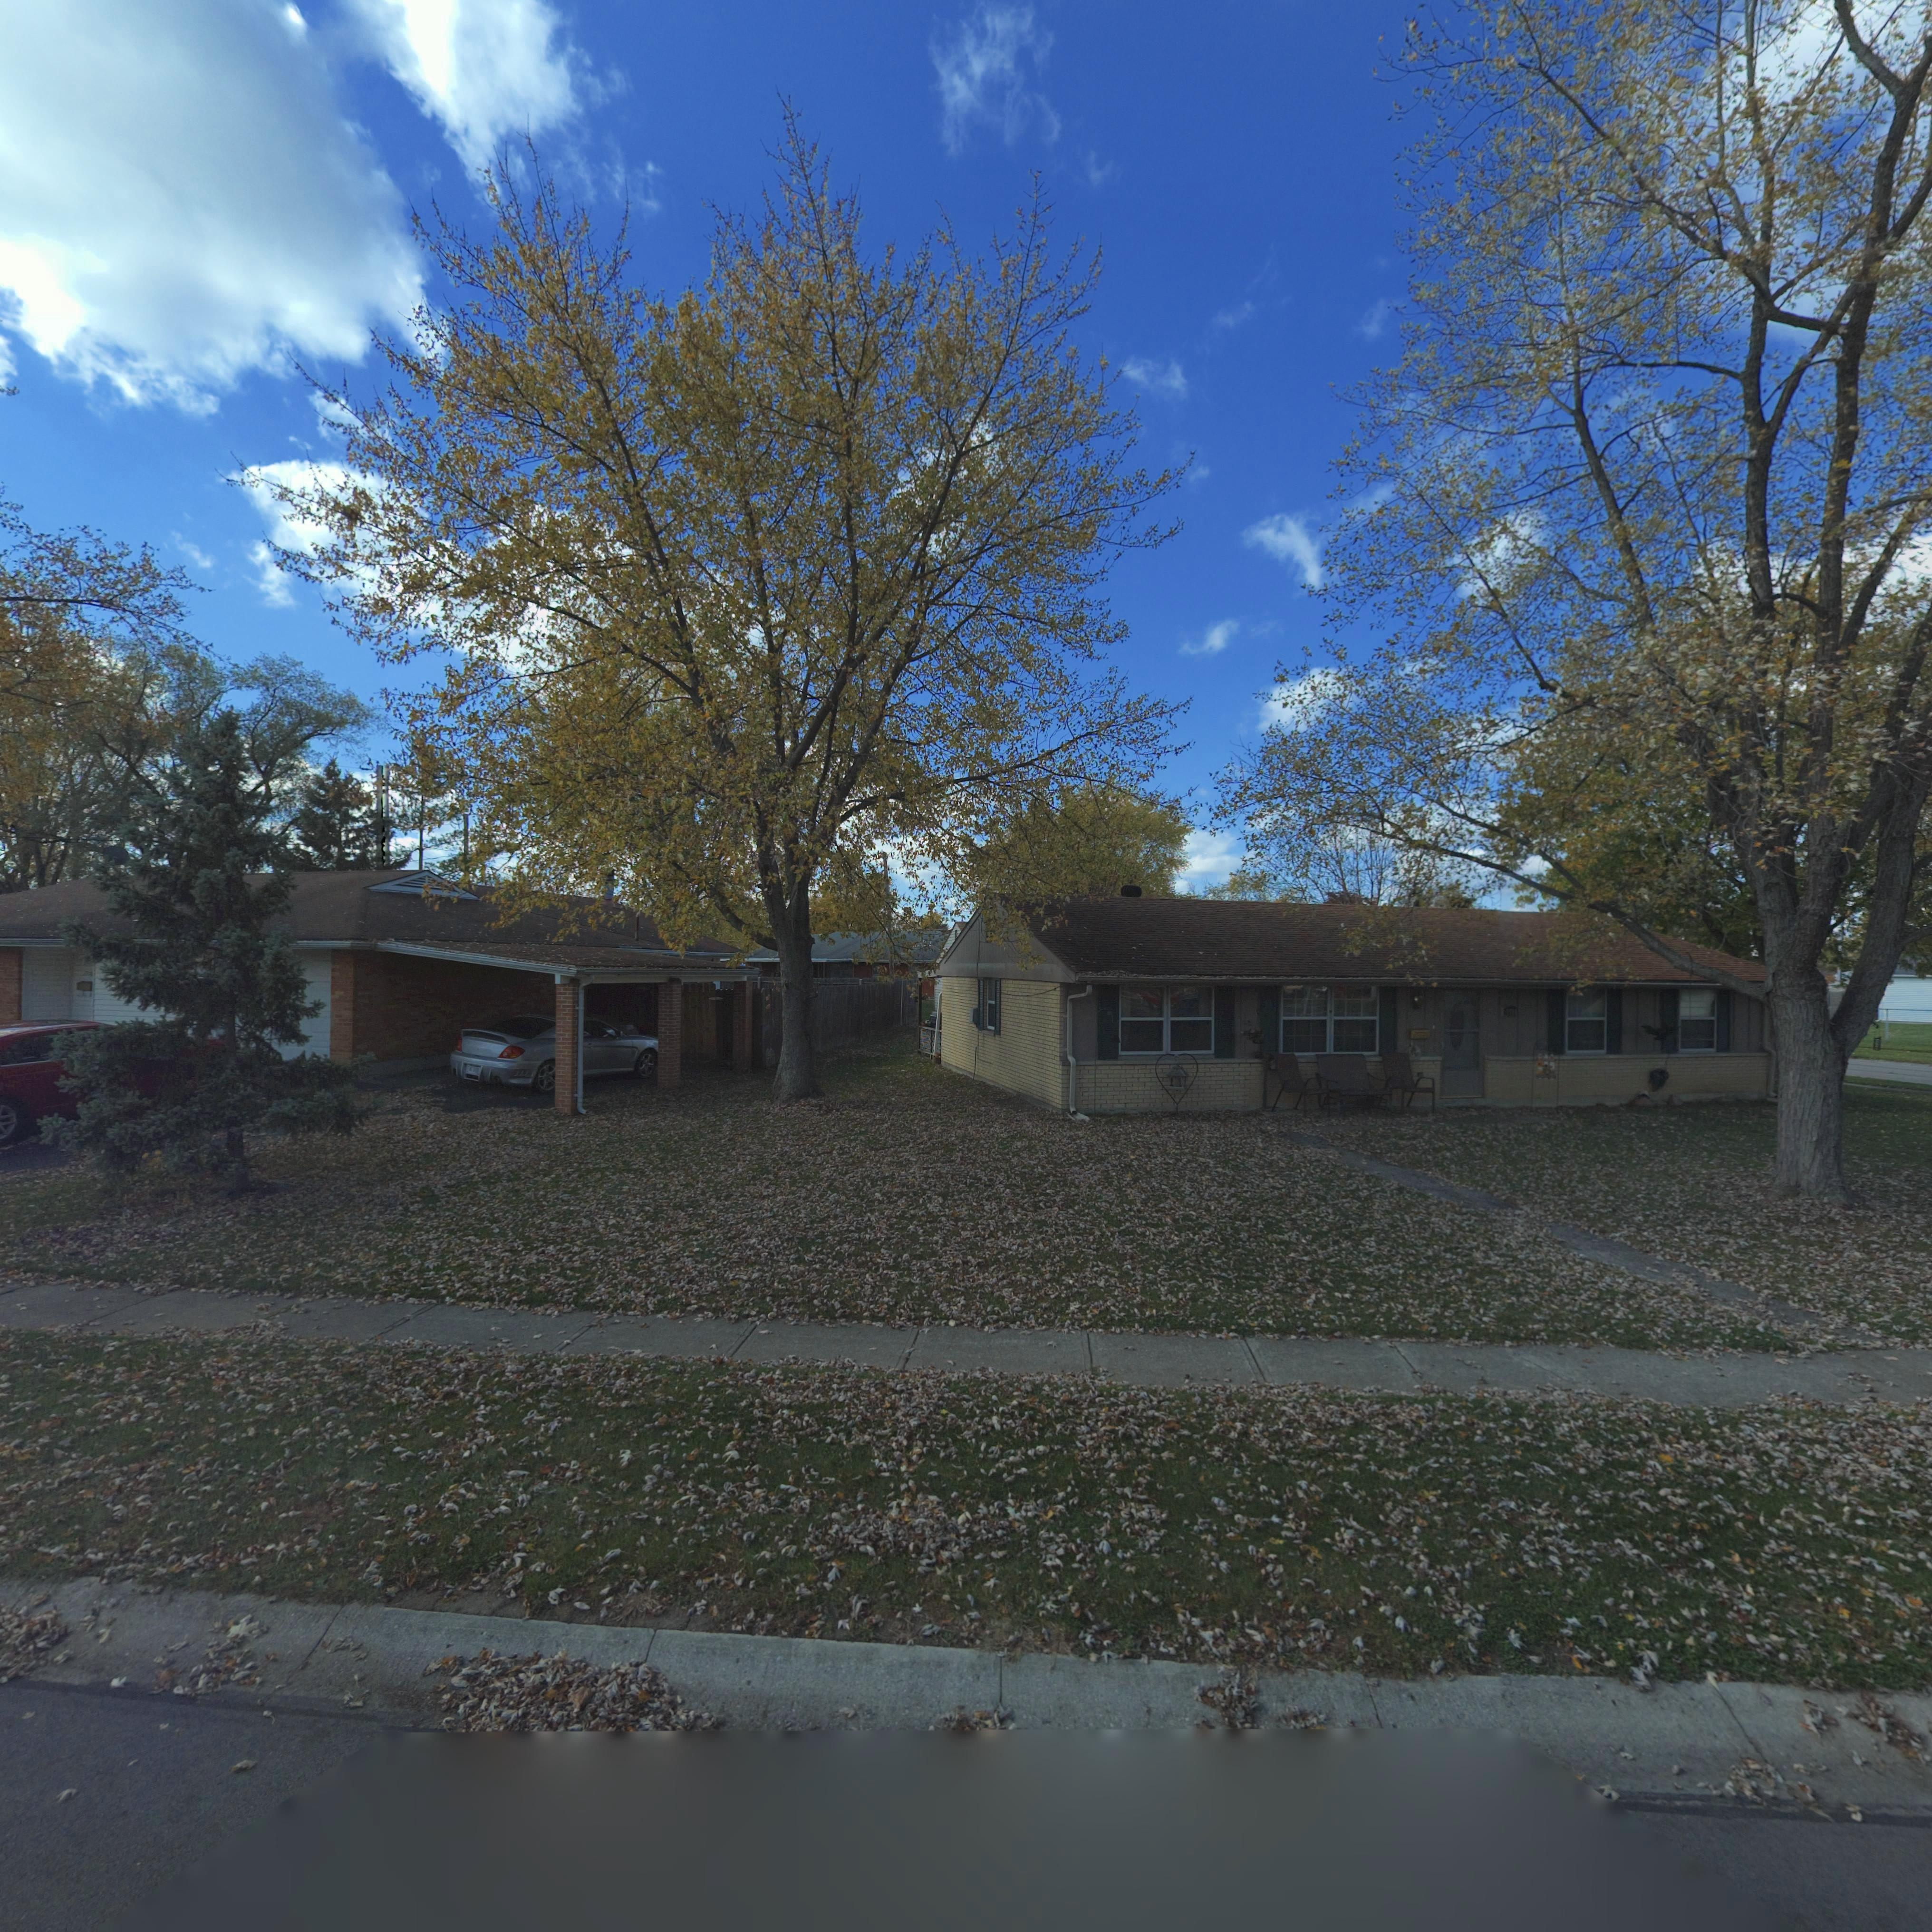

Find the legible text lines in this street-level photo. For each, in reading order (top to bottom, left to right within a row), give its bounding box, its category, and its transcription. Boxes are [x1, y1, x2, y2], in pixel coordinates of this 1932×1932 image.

[82, 971, 93, 976] StreetNumber: 777*
[1505, 1008, 1517, 1015] StreetNumber: 7***